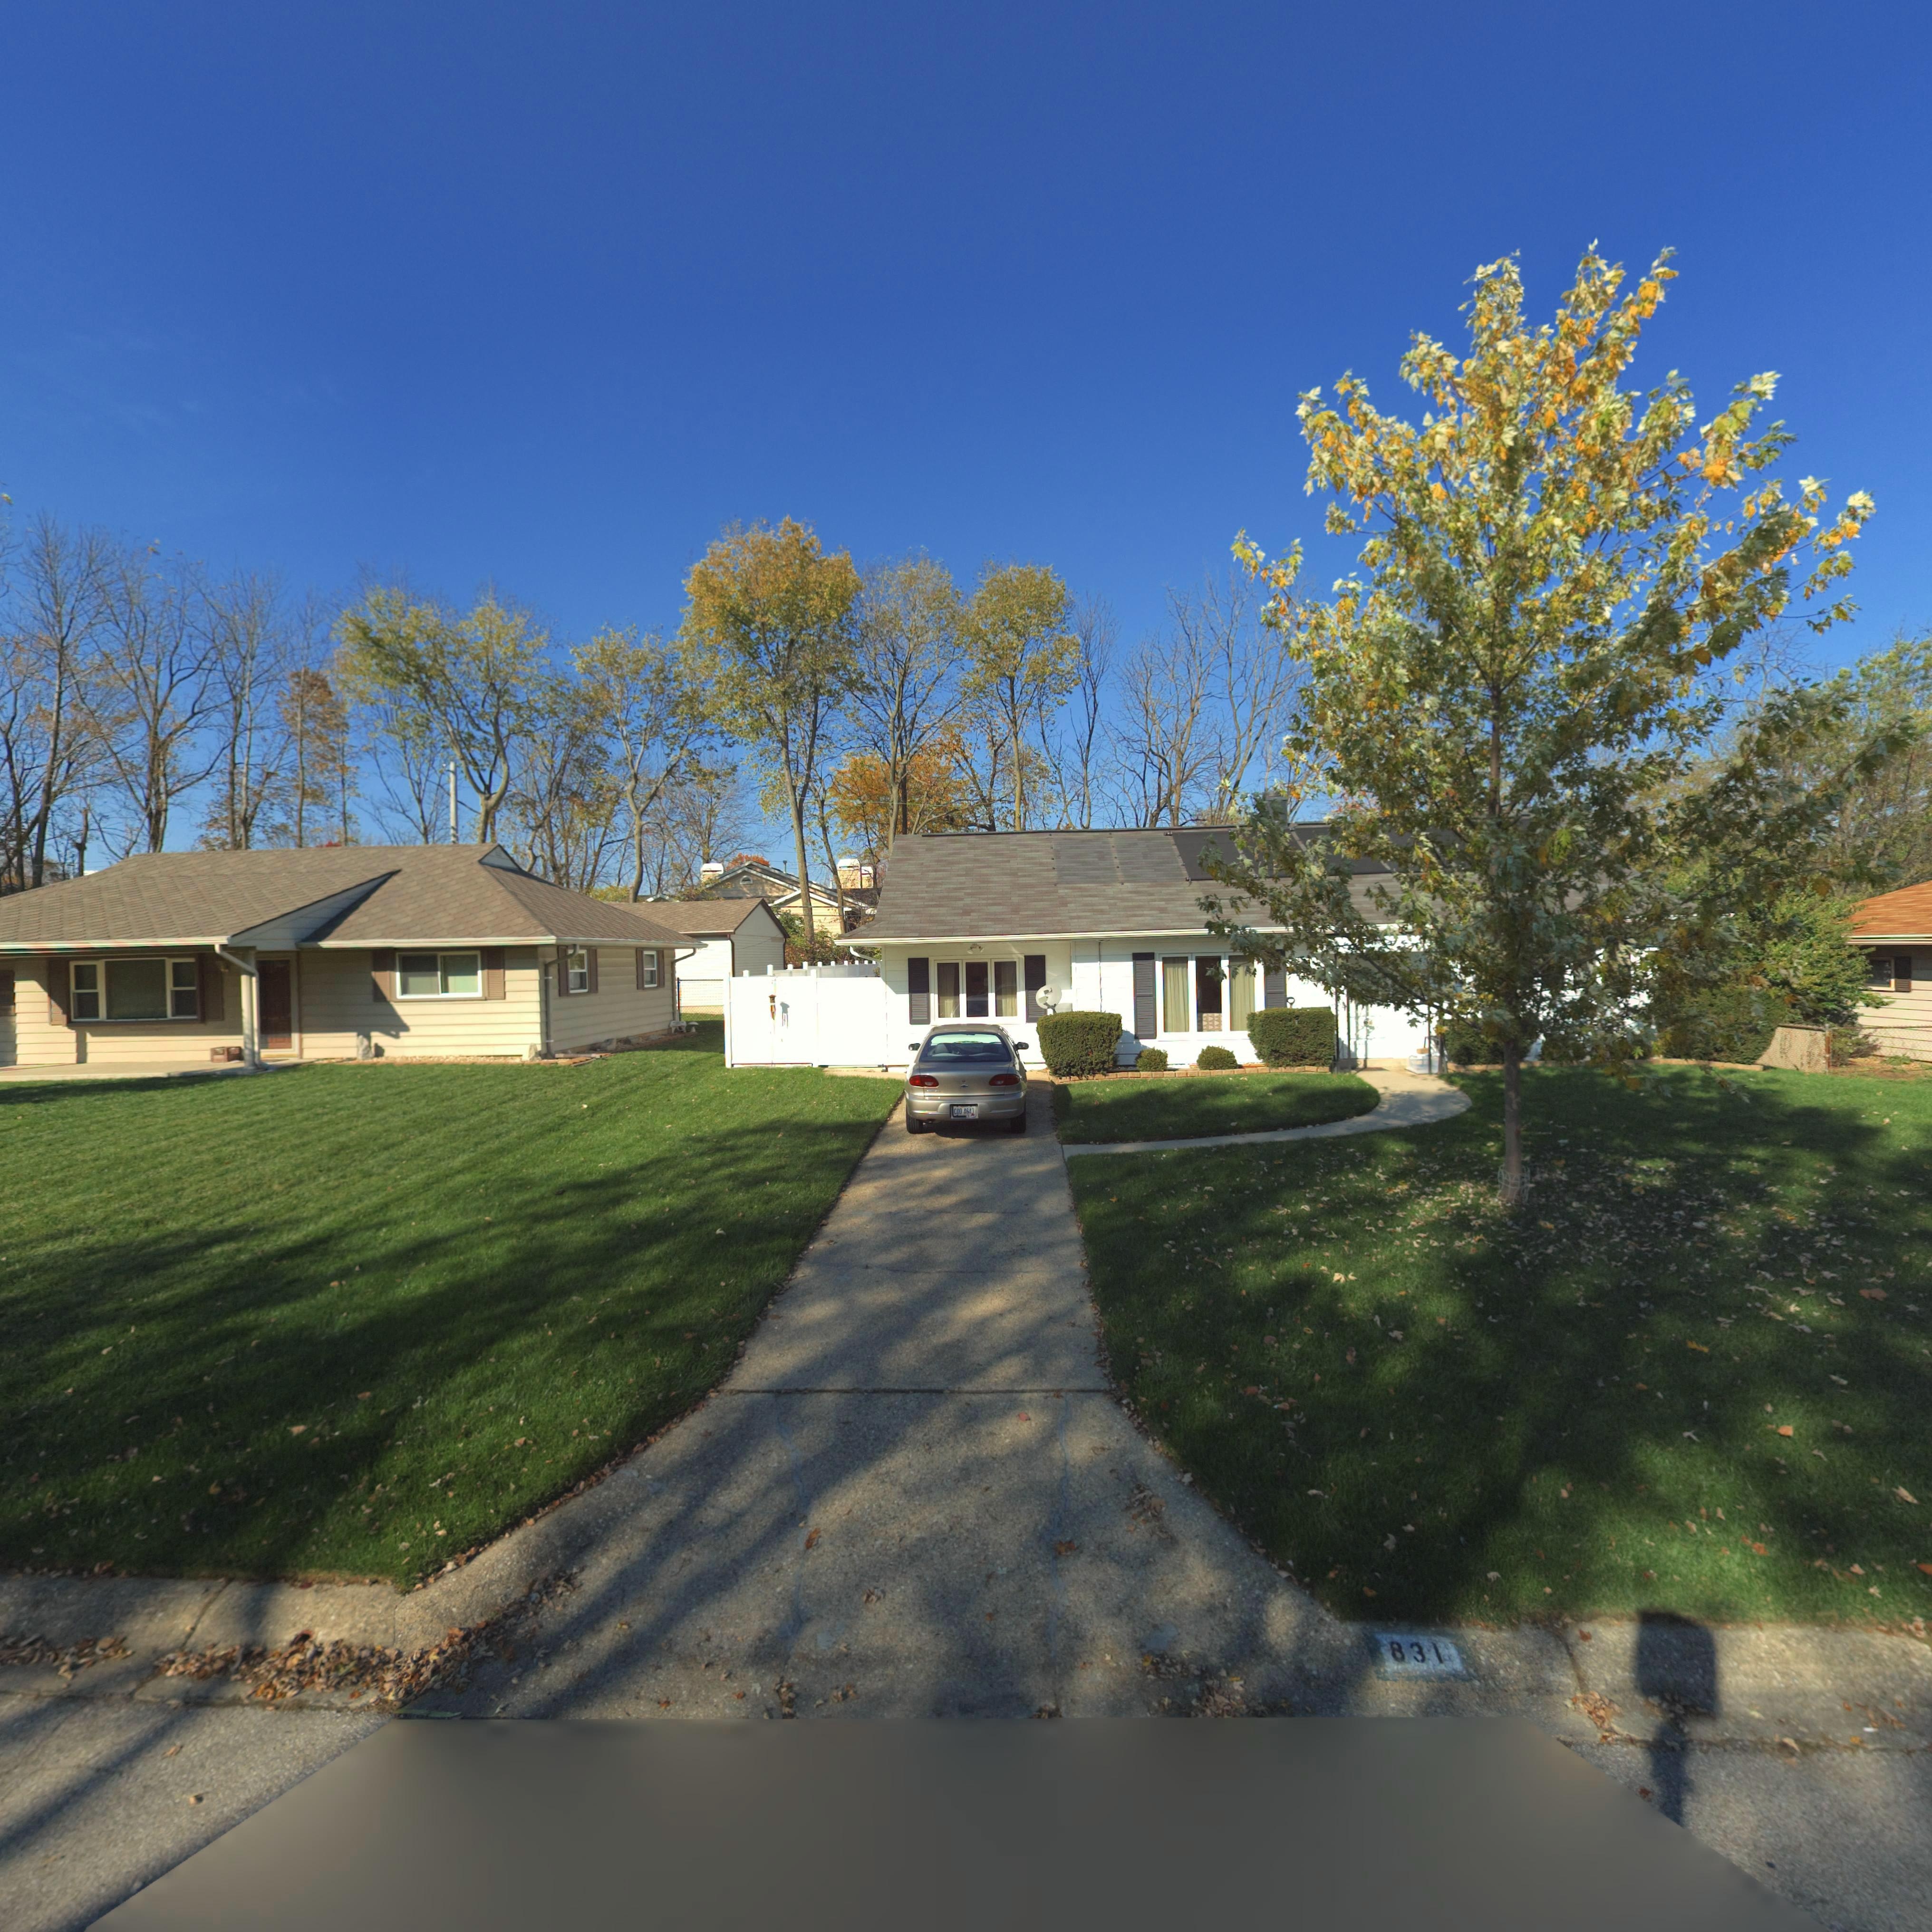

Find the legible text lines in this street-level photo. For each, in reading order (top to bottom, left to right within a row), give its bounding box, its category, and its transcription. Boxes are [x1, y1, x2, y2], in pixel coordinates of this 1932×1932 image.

[954, 1107, 974, 1114] None: COO 4643
[1388, 1639, 1447, 1664] StreetNumber: 831